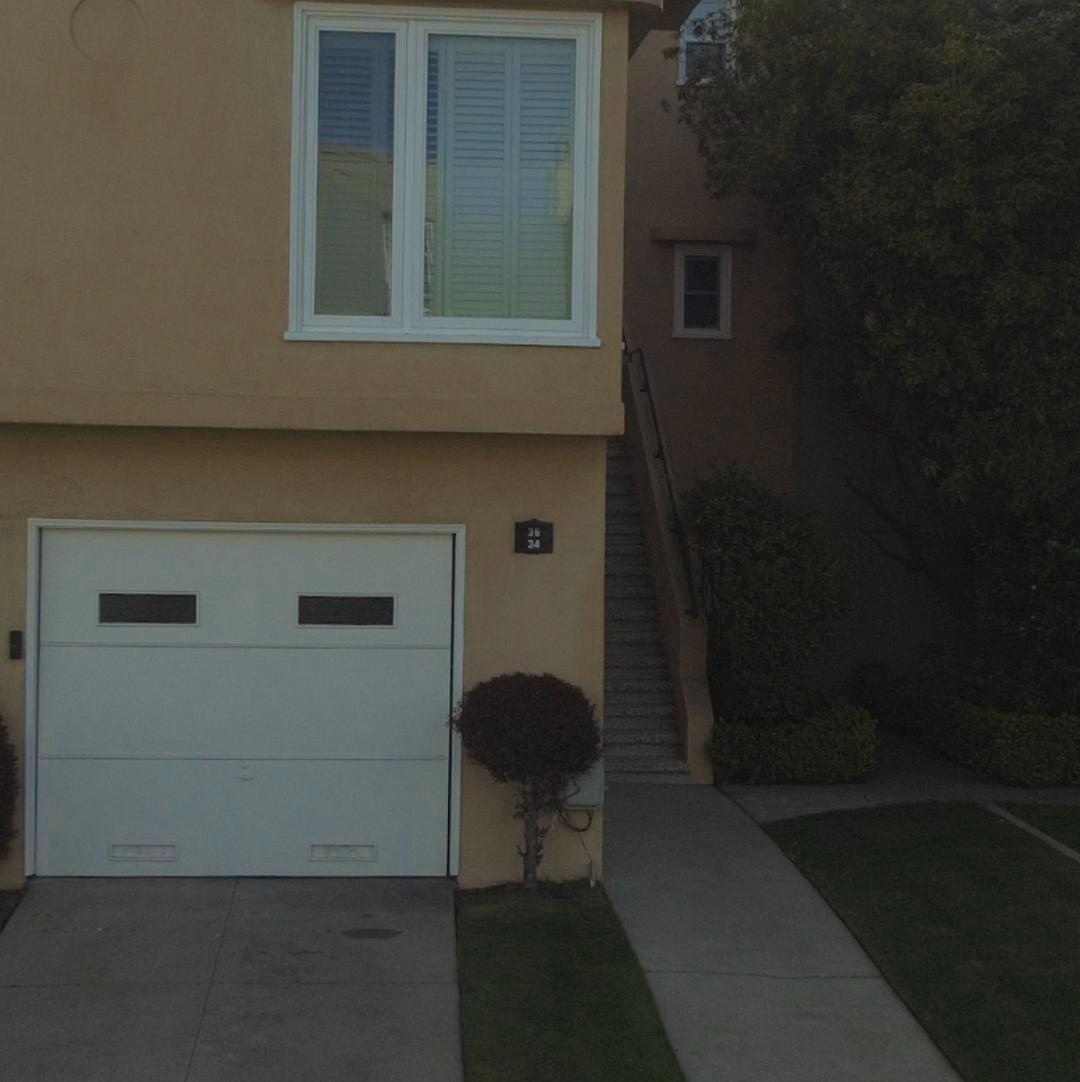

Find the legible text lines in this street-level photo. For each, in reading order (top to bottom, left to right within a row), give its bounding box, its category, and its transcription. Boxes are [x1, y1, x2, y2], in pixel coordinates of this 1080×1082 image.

[526, 525, 542, 539] StreetNumber: 36
[526, 538, 542, 551] StreetNumber: 34